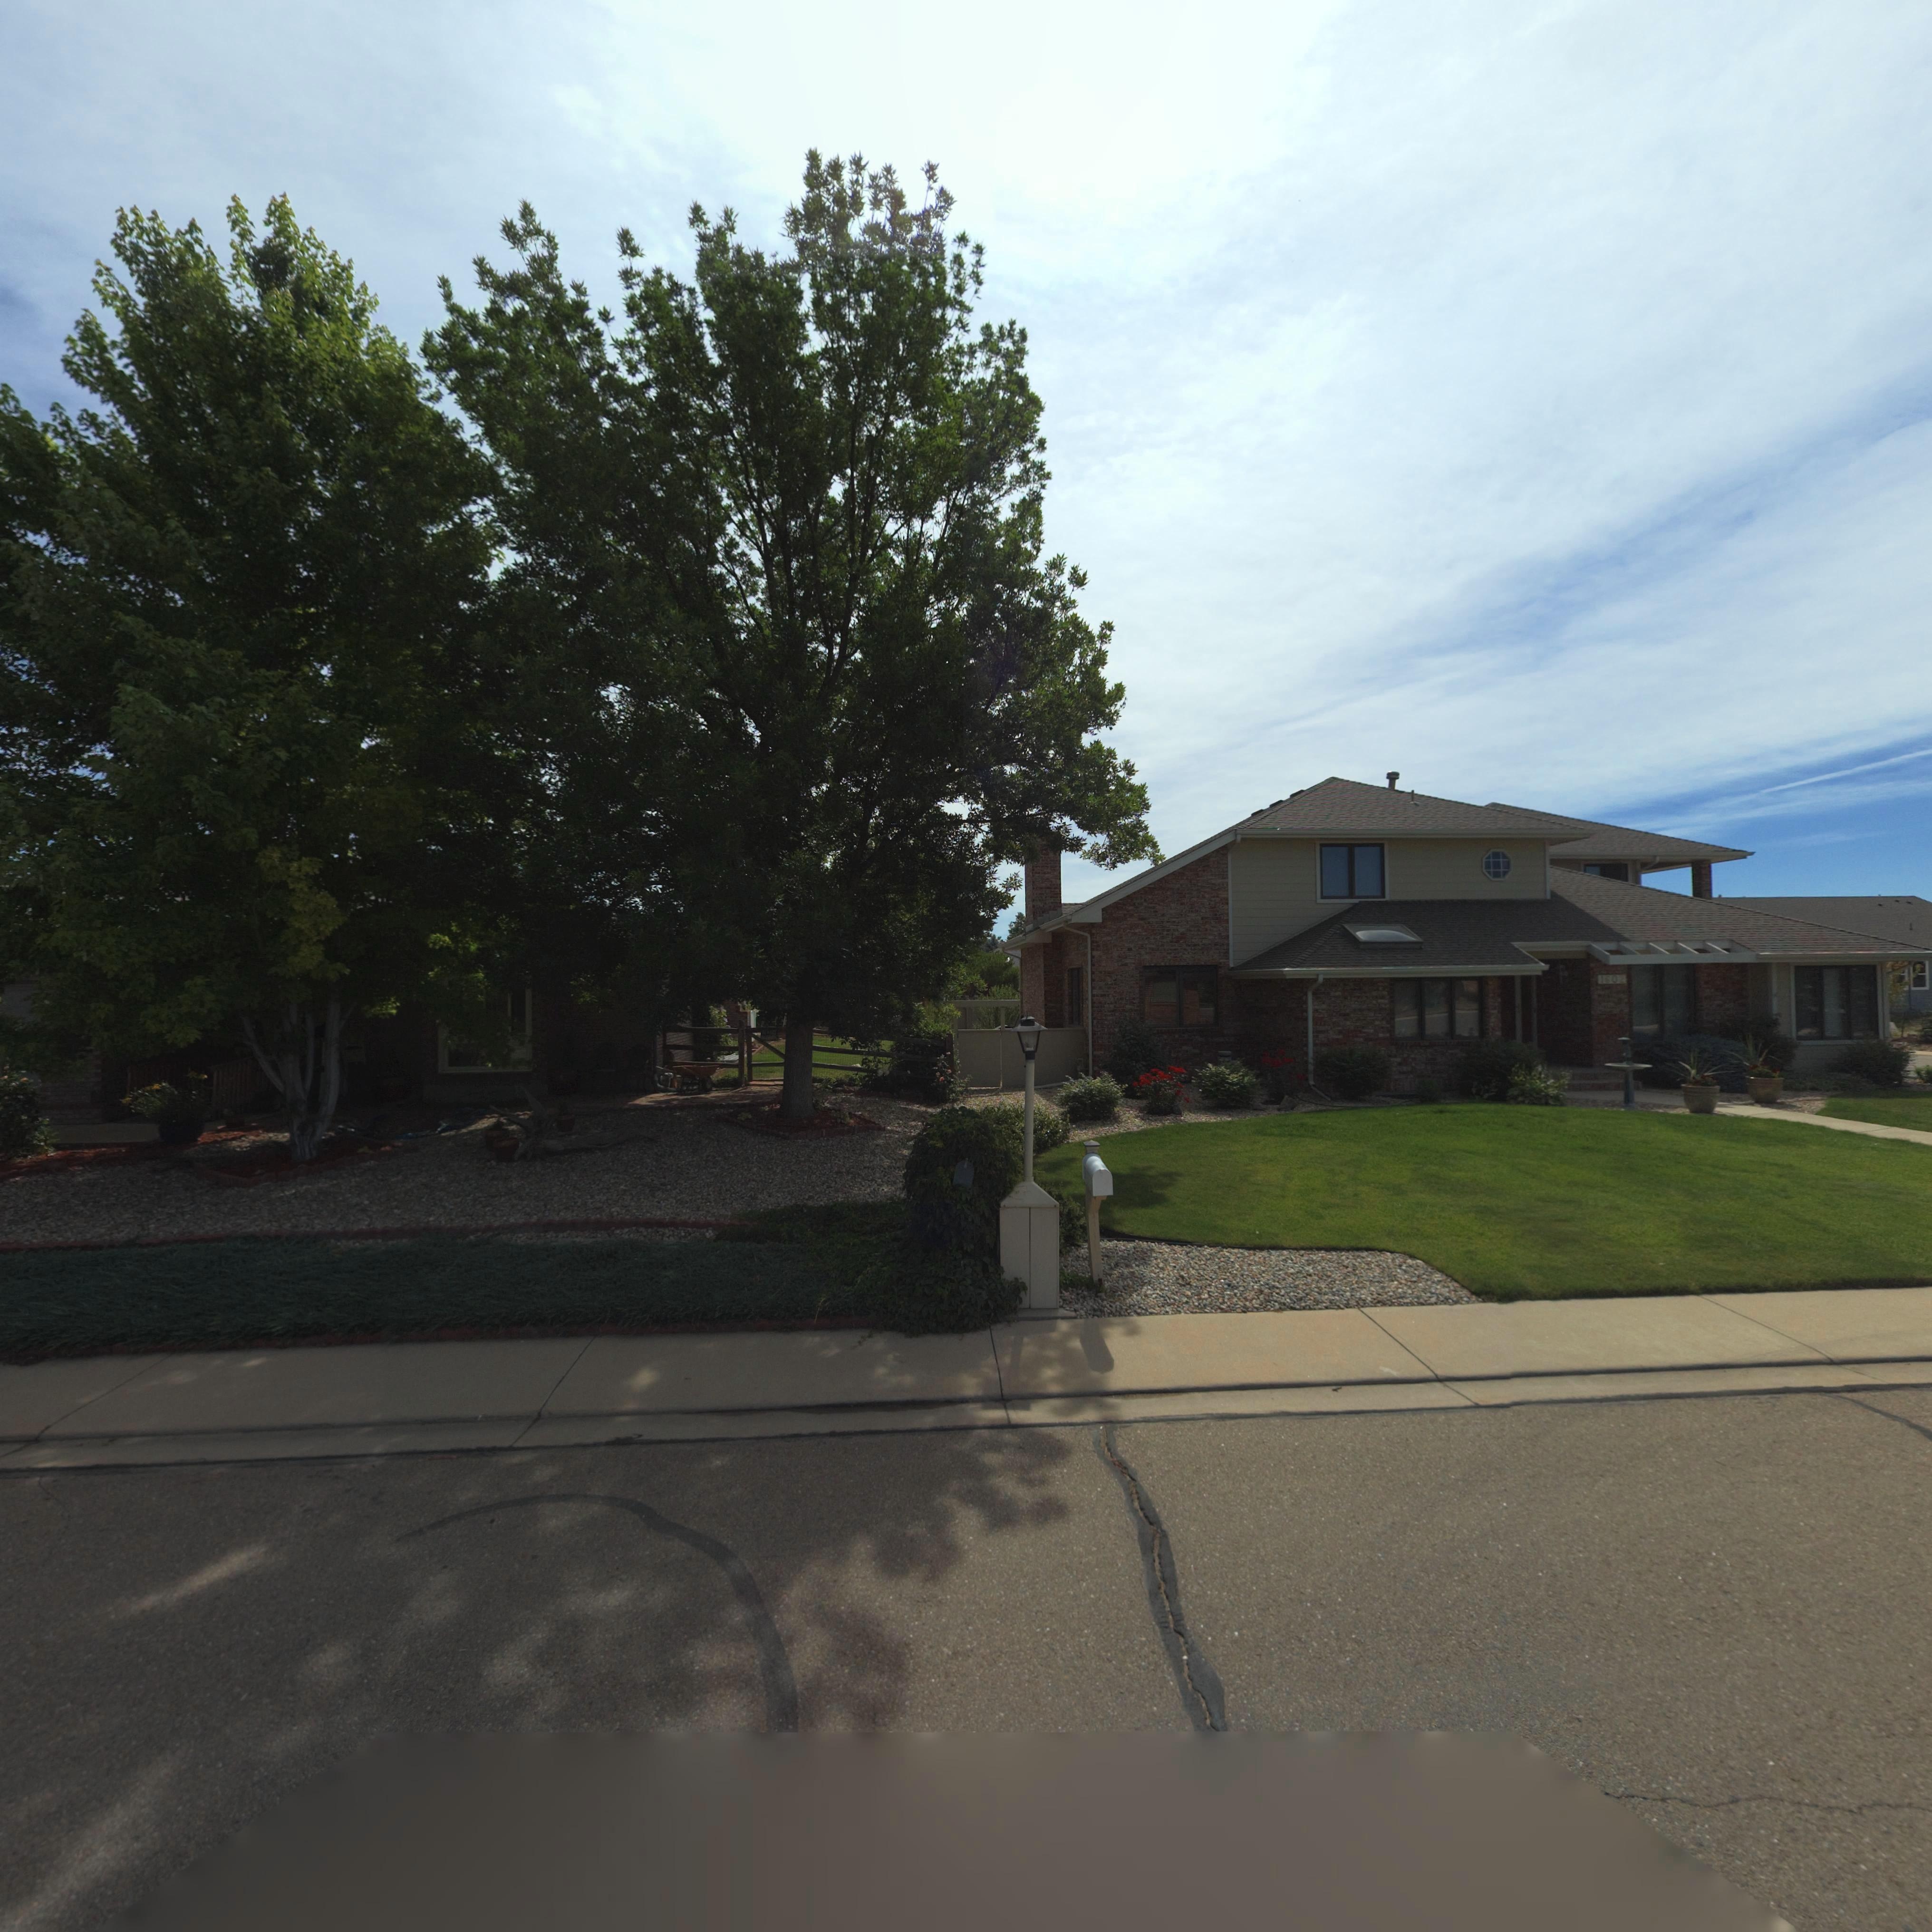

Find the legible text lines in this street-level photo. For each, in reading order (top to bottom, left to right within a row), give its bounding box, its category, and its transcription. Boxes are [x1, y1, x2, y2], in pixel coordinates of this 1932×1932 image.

[1600, 974, 1625, 983] StreetNumber: 1602